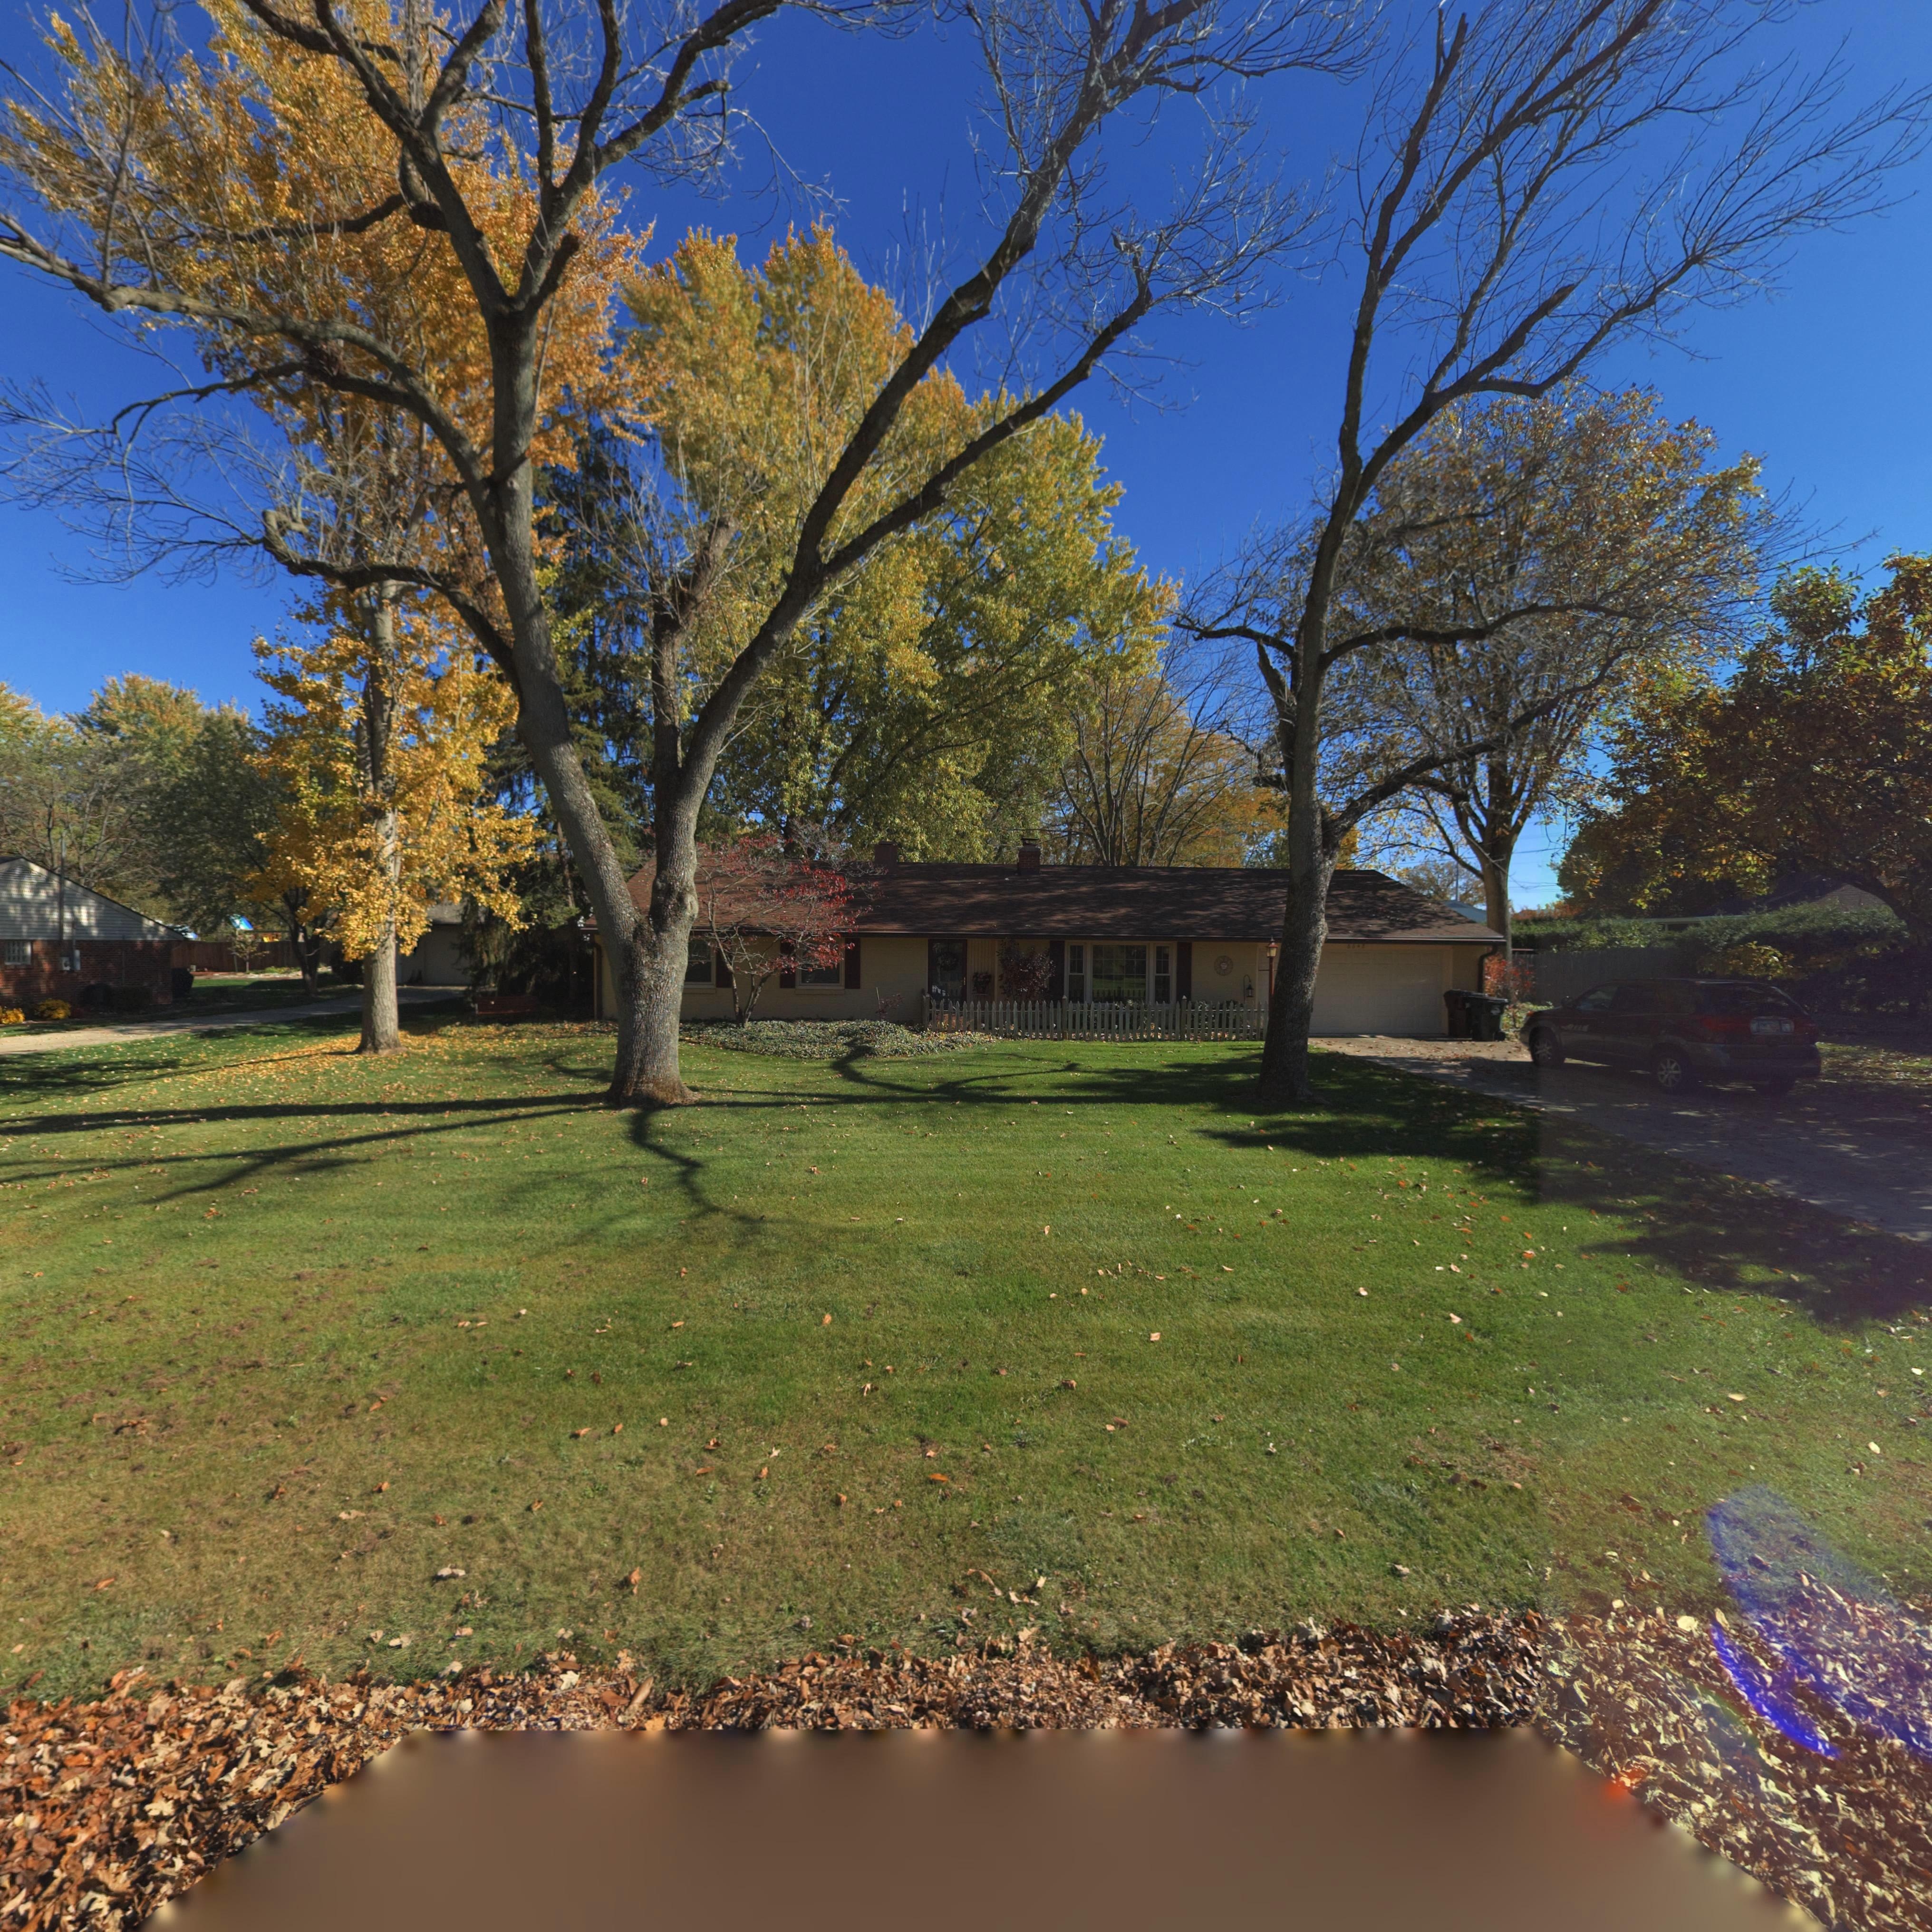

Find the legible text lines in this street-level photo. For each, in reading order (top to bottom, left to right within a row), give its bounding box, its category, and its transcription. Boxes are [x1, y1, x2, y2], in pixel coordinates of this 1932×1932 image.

[1346, 943, 1365, 949] StreetNumber: 6648